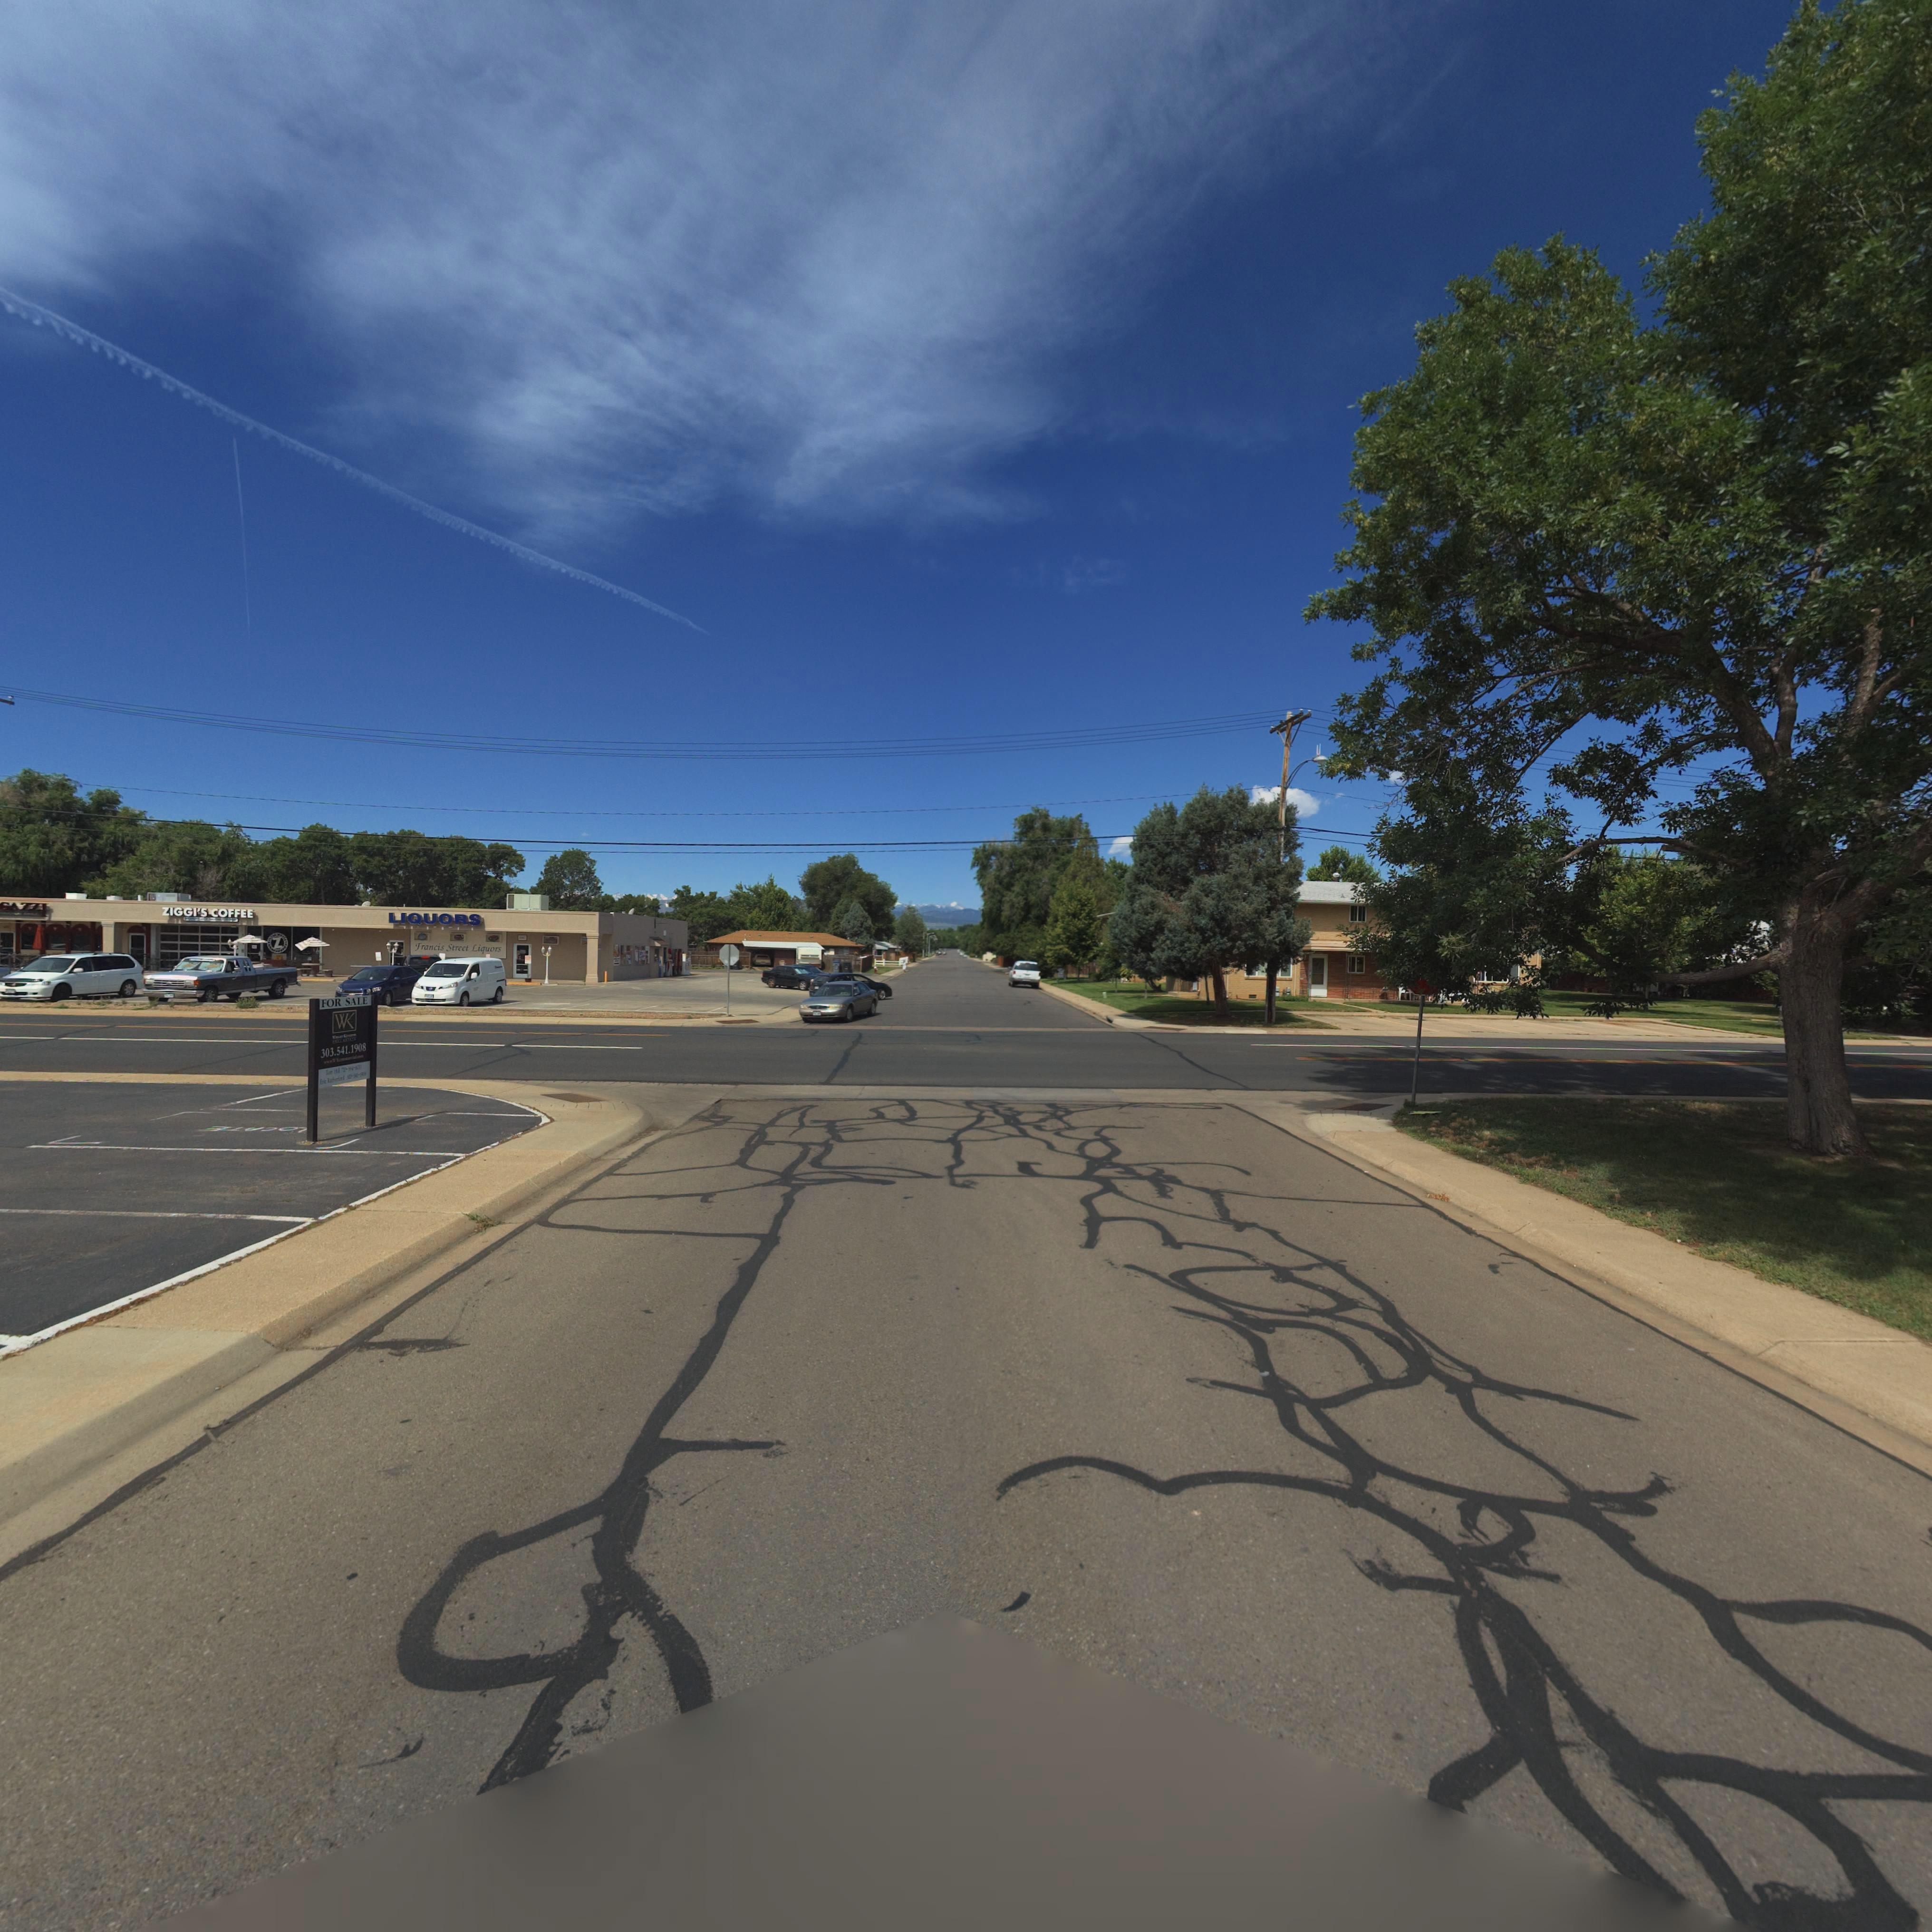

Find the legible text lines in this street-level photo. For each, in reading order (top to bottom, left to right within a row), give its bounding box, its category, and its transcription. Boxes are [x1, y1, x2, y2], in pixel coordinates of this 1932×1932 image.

[8, 902, 48, 917] BusinessName: AZZI
[161, 906, 254, 918] BusinessName: ZIGGI'S COFFEE
[414, 942, 502, 954] BusinessName: Francis Street Liquors